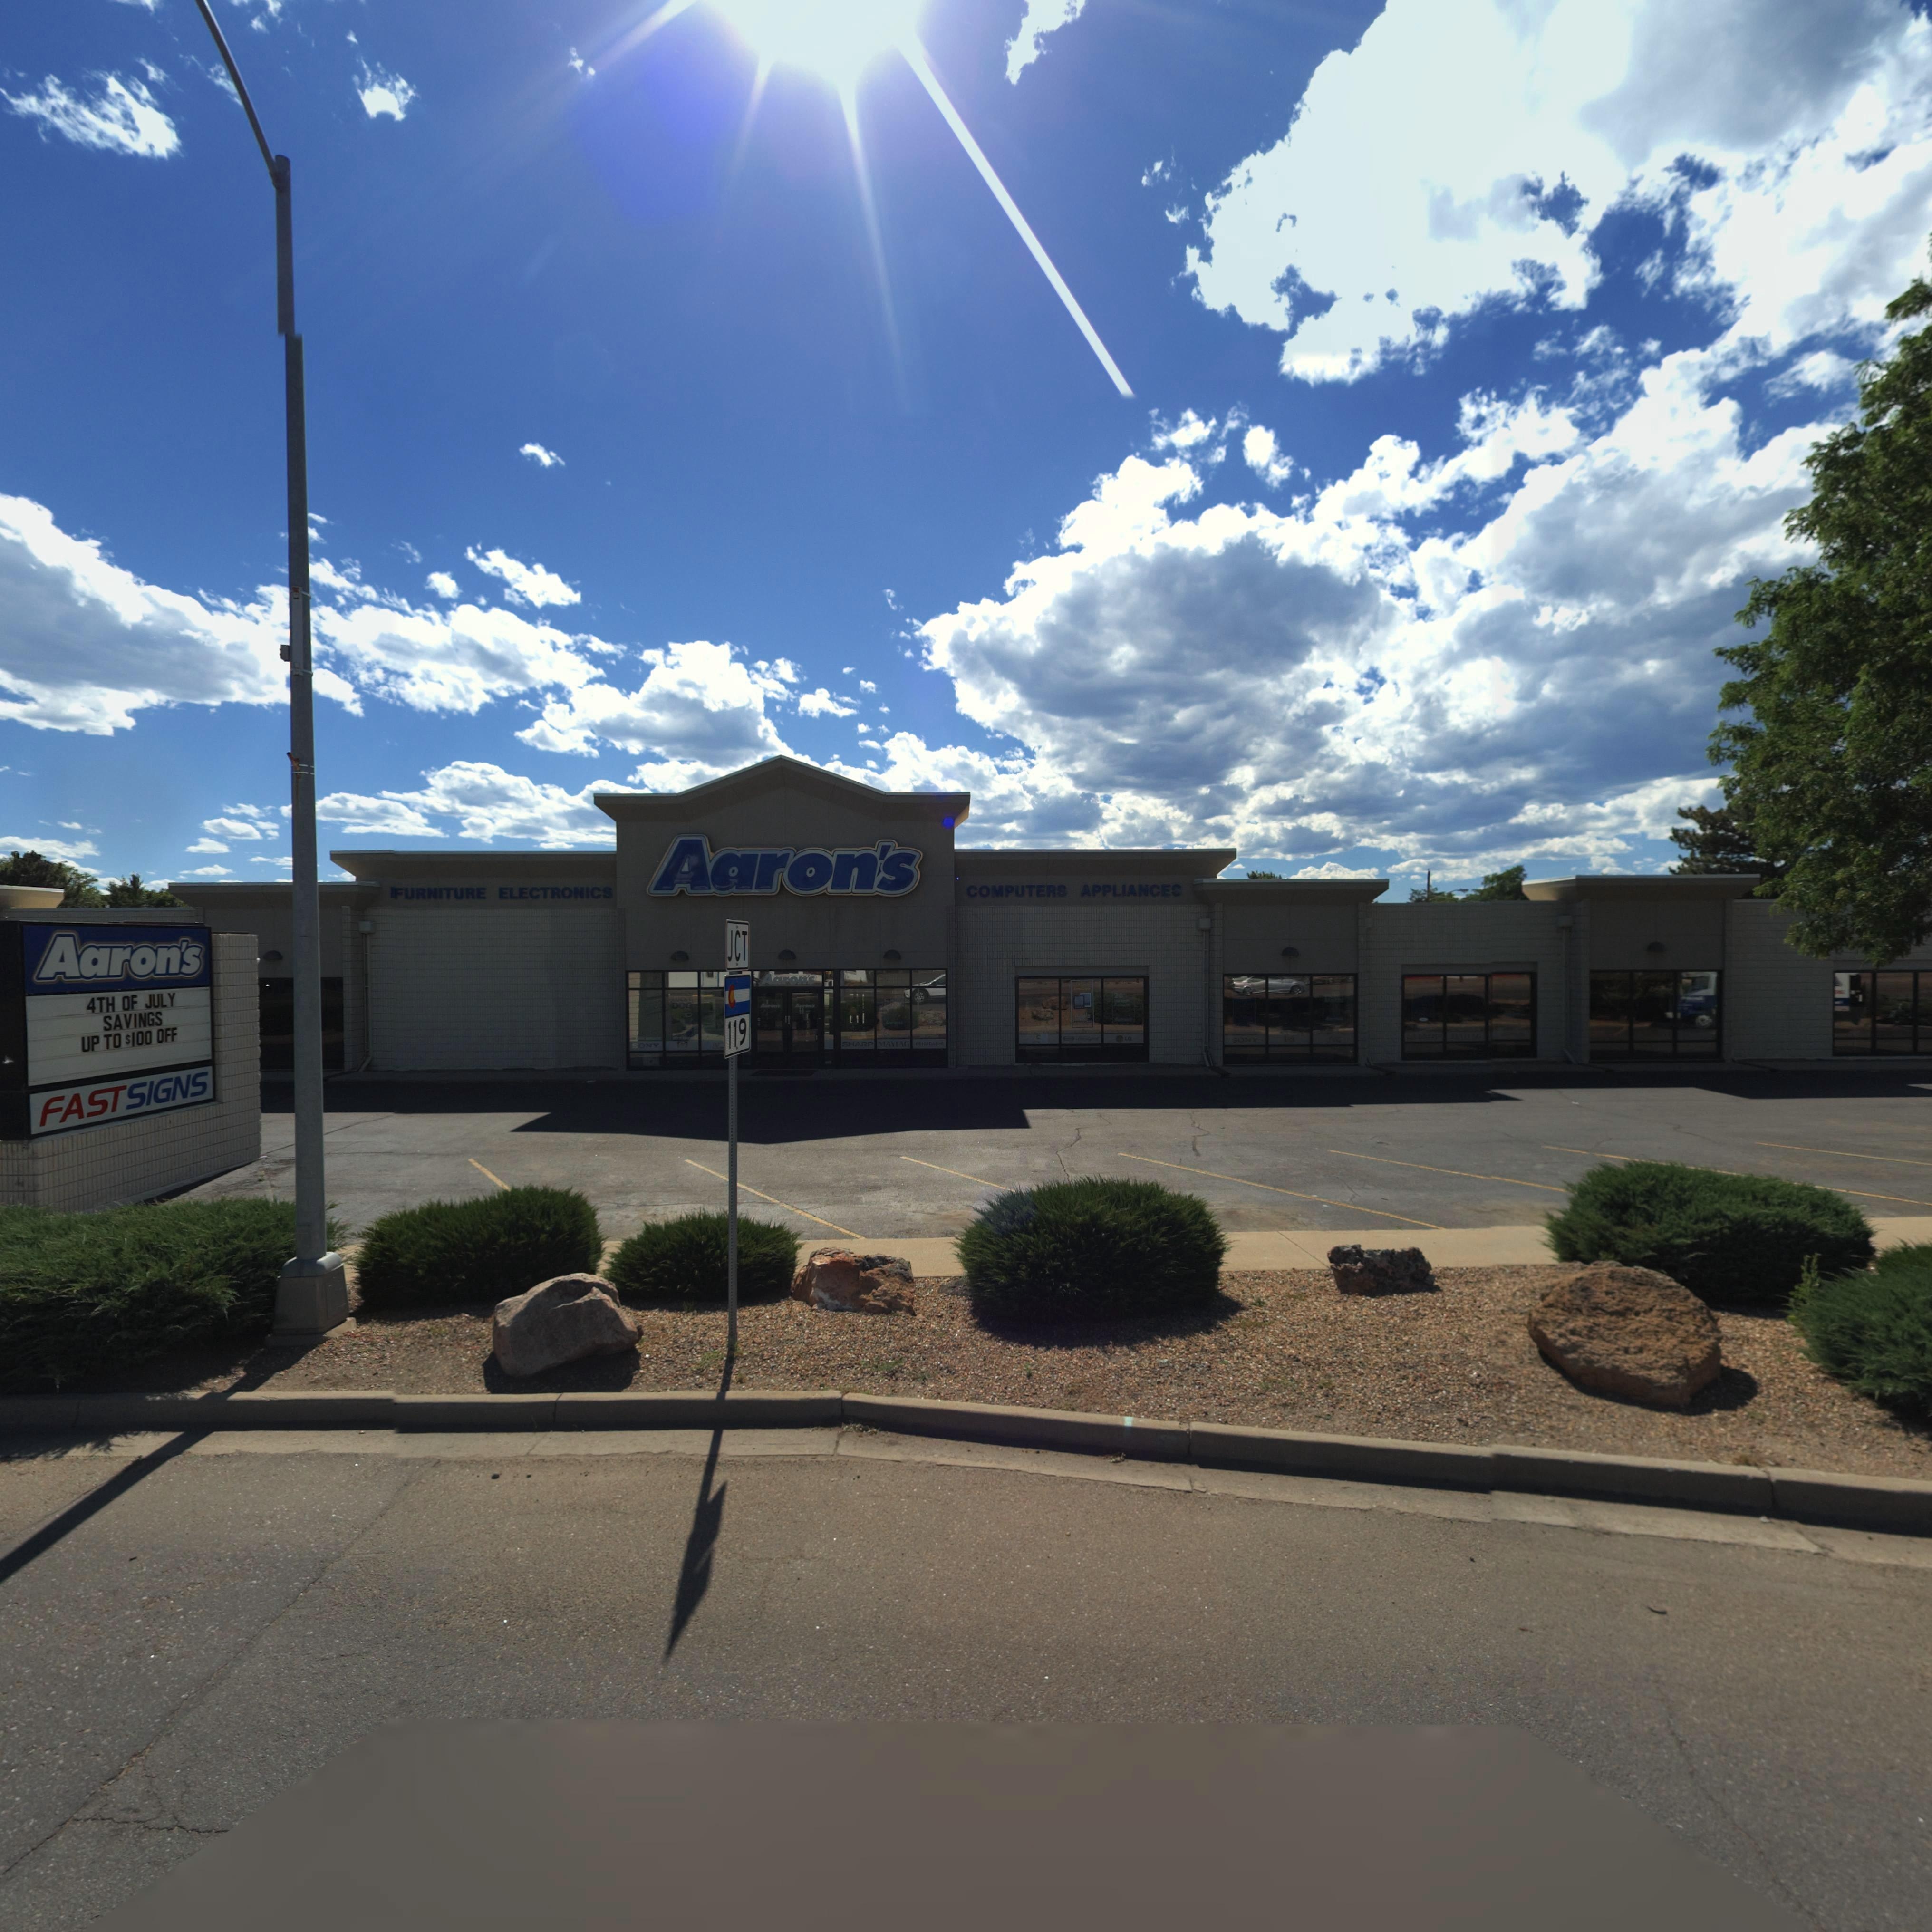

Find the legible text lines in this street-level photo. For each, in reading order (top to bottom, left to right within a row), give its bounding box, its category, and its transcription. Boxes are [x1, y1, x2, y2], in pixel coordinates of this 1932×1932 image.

[649, 837, 918, 892] BusinessName: Aaron's
[31, 932, 204, 982] BusinessName: Aaron's
[759, 973, 815, 985] BusinessName: Aaron's
[759, 1003, 781, 1008] BusinessName: Aarons
[794, 1002, 816, 1008] BusinessName: Aarons
[38, 1070, 209, 1129] BusinessName: FASTSIGNS